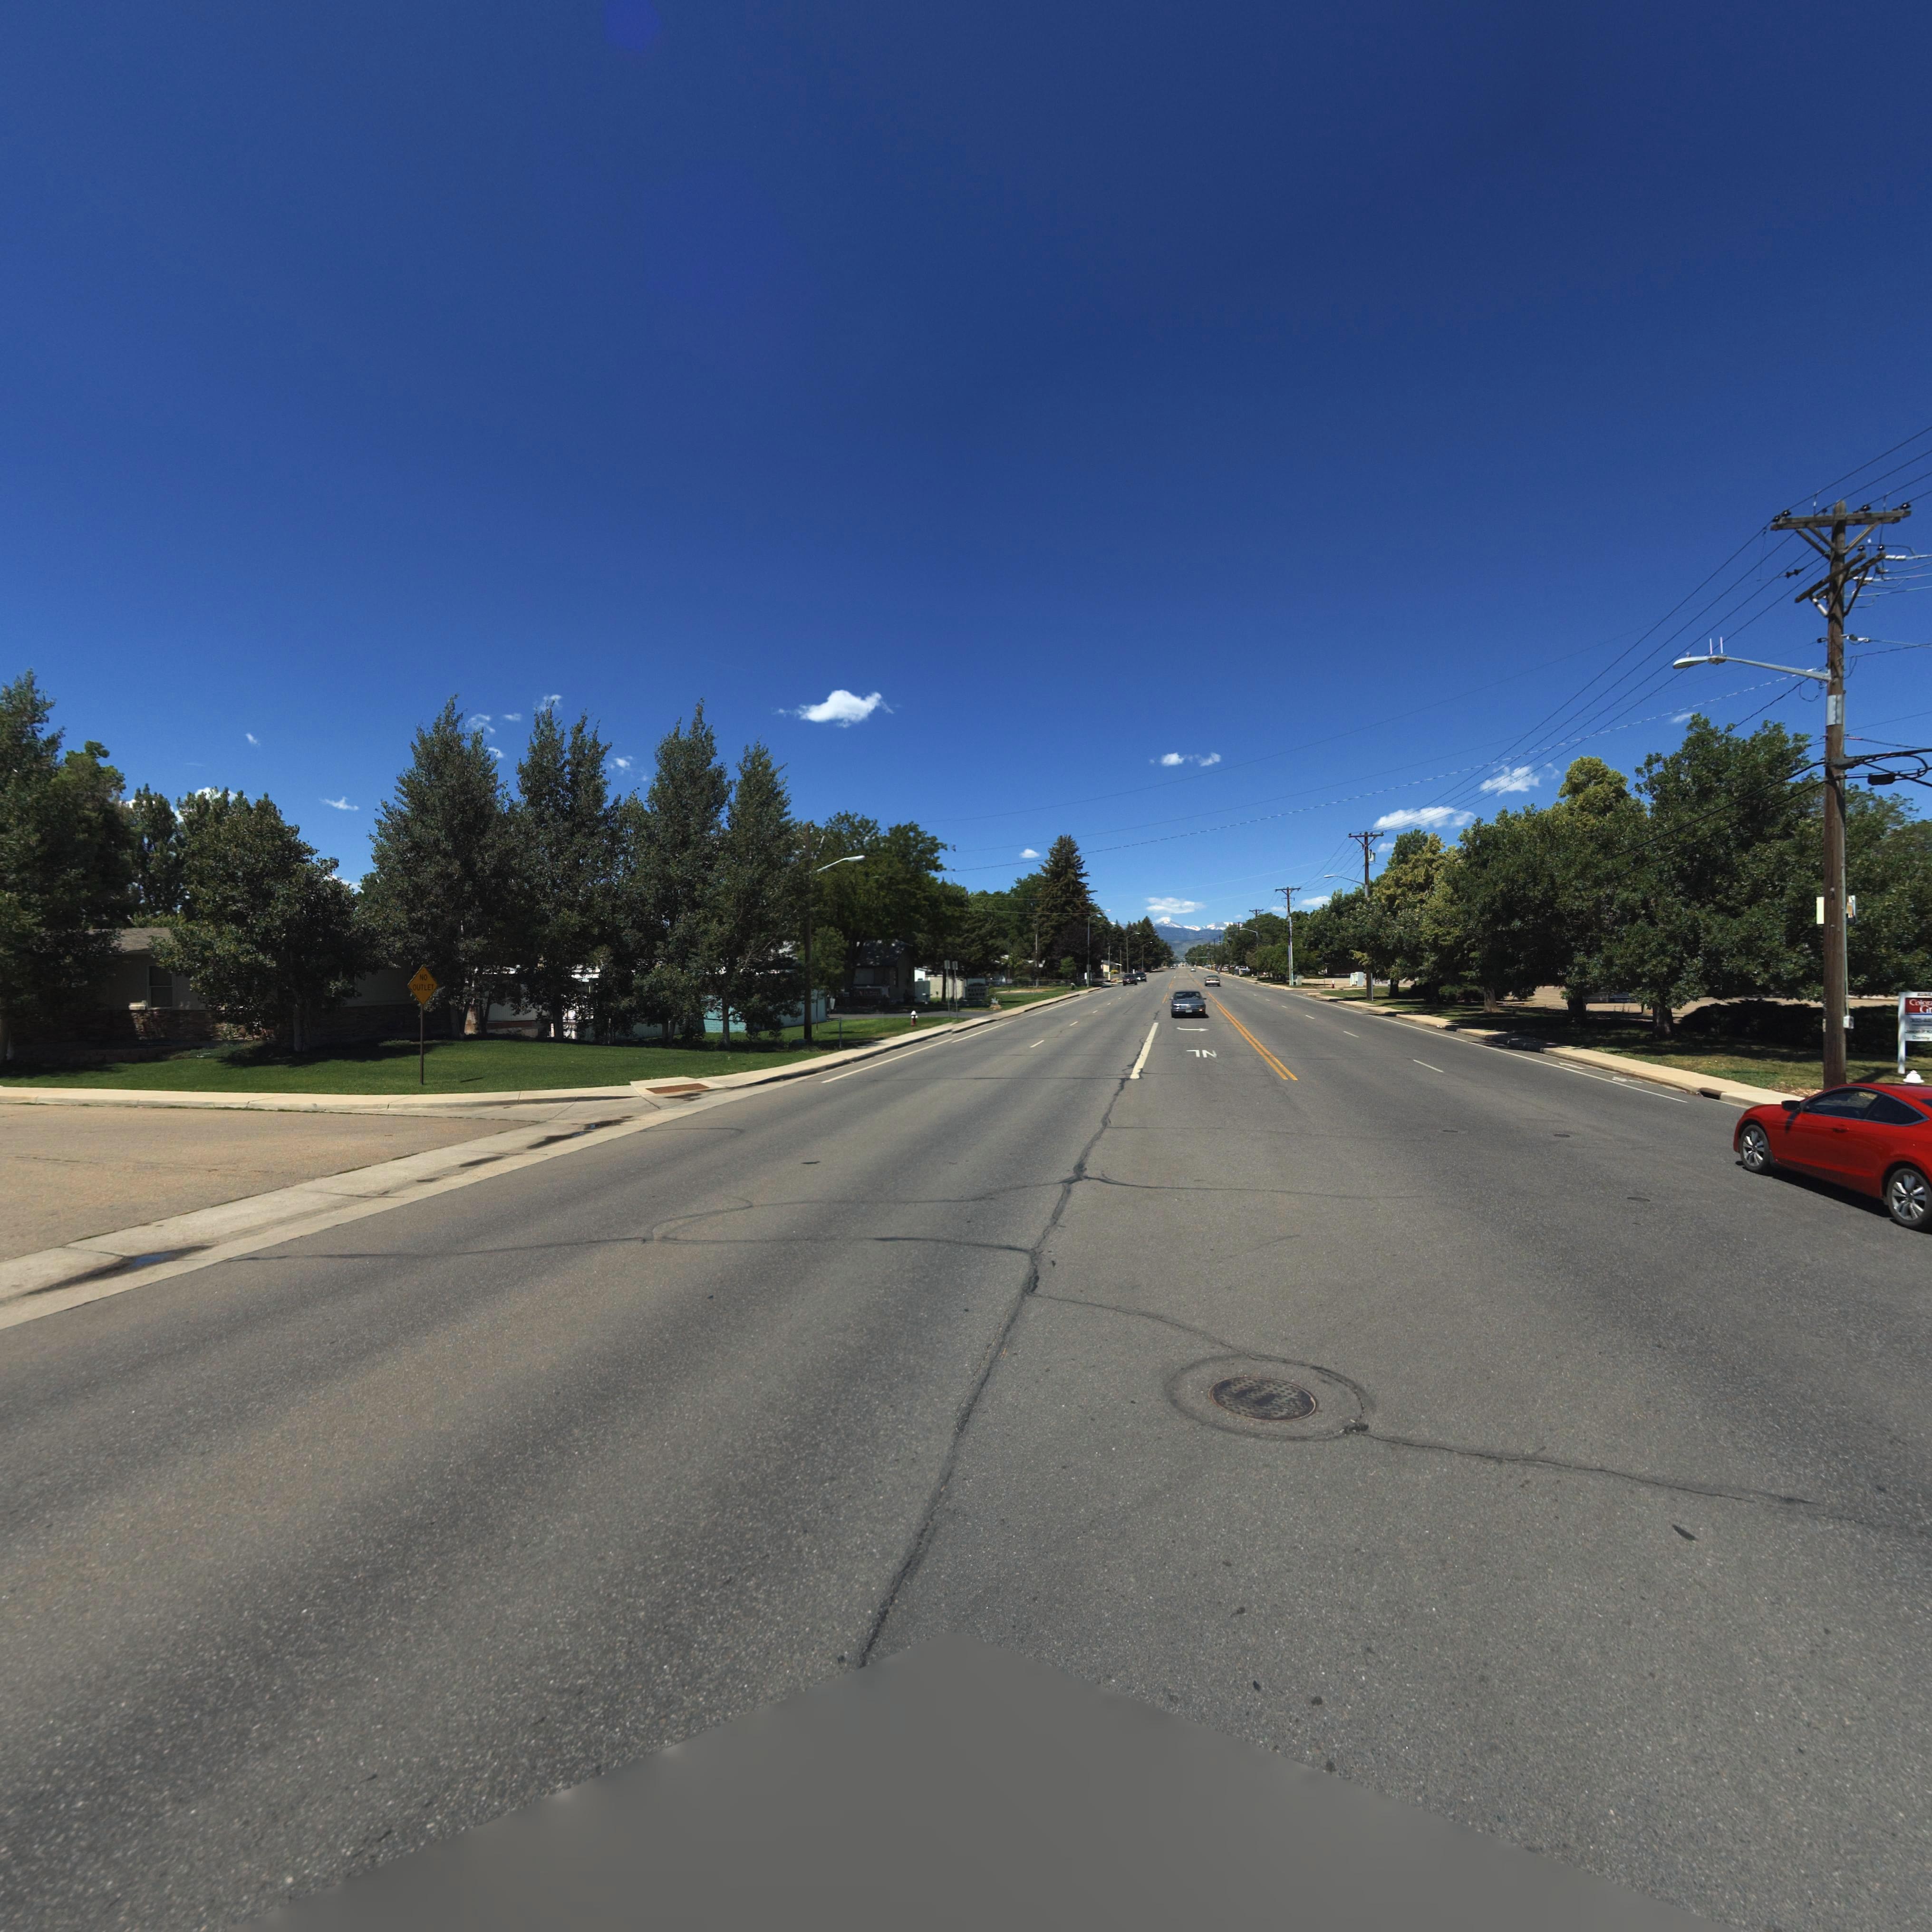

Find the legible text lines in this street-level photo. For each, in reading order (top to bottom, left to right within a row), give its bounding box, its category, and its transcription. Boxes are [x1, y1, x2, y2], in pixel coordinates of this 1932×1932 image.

[967, 987, 986, 992] BusinessName: **S*O*
[967, 992, 985, 997] BusinessName: MA*O*